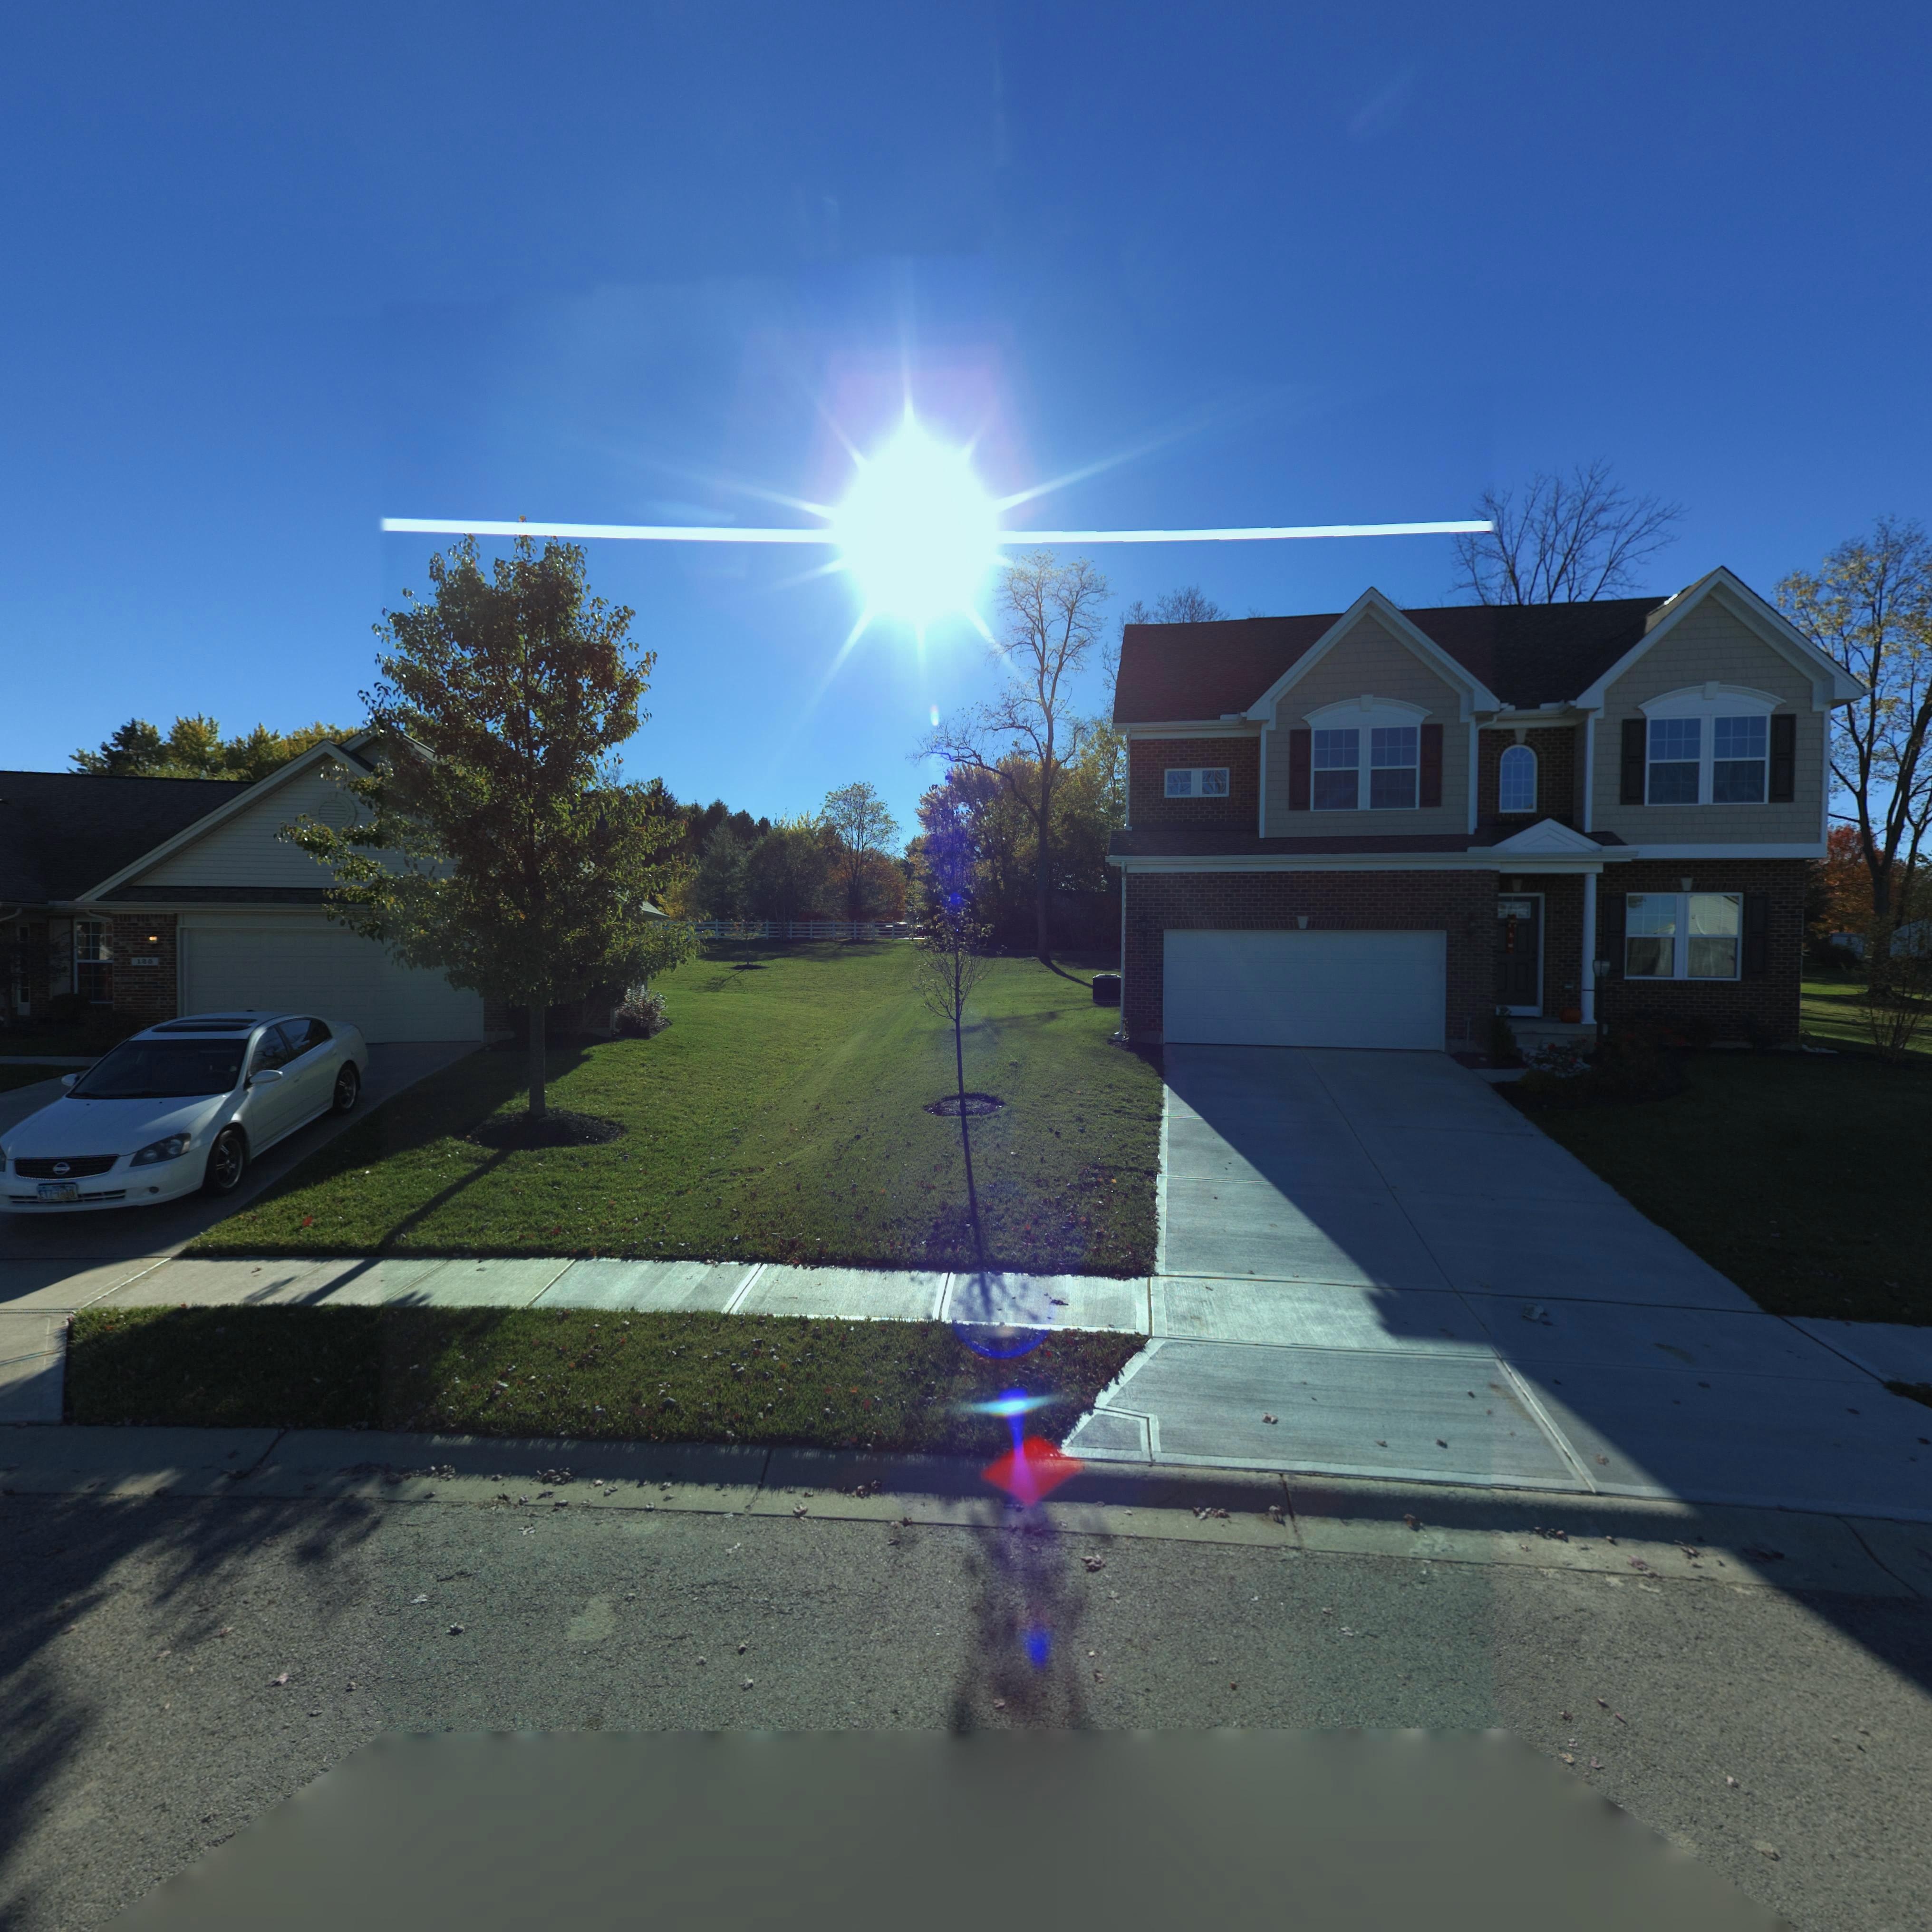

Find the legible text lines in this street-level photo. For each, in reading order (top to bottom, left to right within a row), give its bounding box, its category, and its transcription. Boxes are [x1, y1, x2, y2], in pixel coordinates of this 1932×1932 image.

[135, 957, 154, 965] StreetNumber: 125